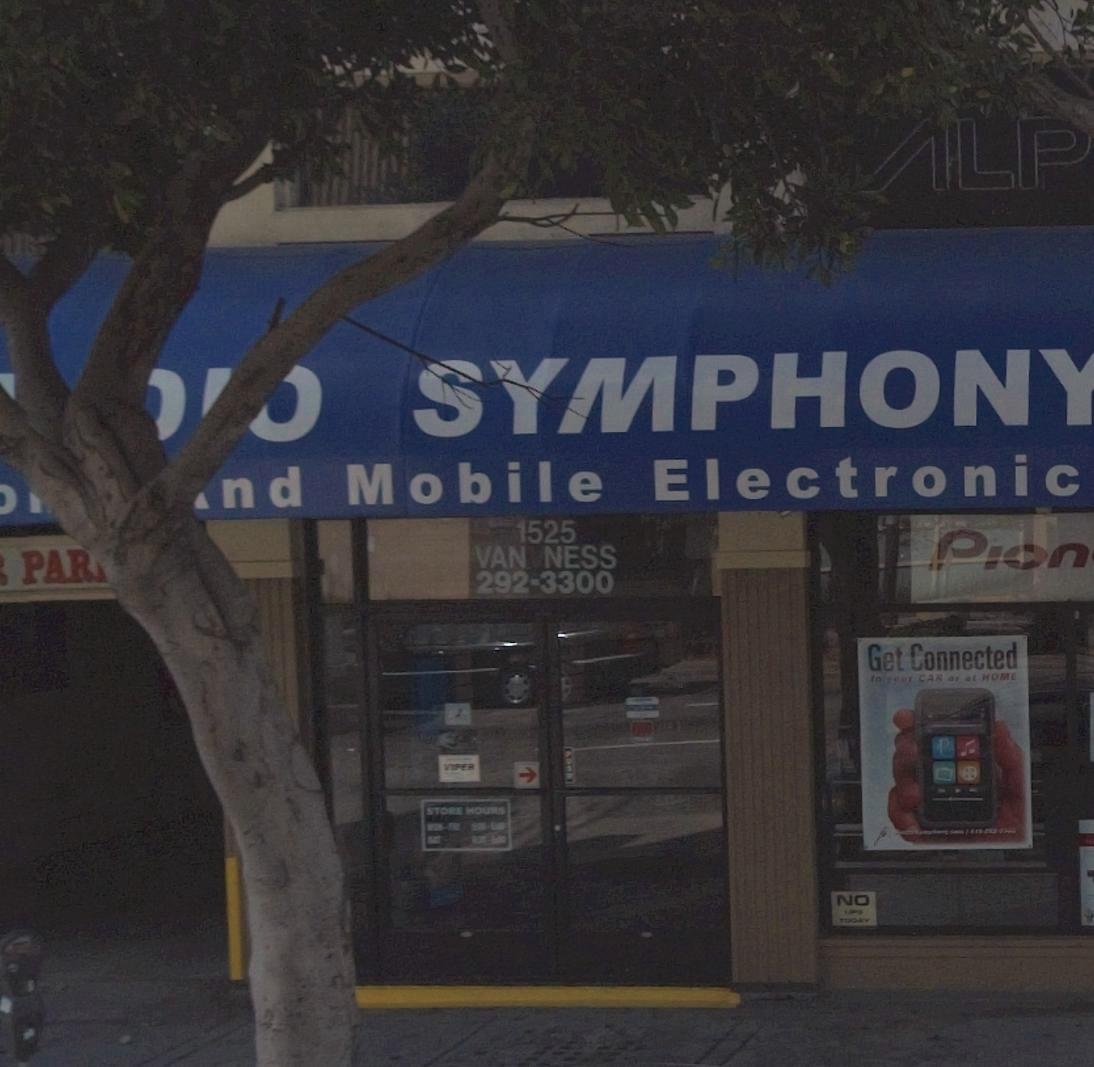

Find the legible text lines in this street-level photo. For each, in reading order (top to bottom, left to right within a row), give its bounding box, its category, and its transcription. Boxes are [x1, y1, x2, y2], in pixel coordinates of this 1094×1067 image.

[955, 117, 1093, 192] None: LP
[410, 347, 1032, 441] BusinessName: STMPHON
[221, 453, 1083, 510] None: nd Mobile Electronic
[513, 519, 578, 545] StreetNumber: 1525
[20, 547, 99, 586] None: PAR
[475, 544, 620, 570] StreetName: VAN*NESS
[925, 529, 1092, 573] None: Pion
[475, 570, 616, 595] None: 393-3300
[867, 640, 1019, 673] None: Get Connected
[869, 672, 1017, 685] None: In your CAR or at HOME
[442, 762, 475, 771] None: V*PE*
[565, 750, 574, 780] None: PU**
[426, 804, 507, 816] None: STORE HOURS
[836, 894, 870, 907] None: NO
[844, 908, 864, 916] None: UPS
[839, 917, 871, 924] None: TODAY